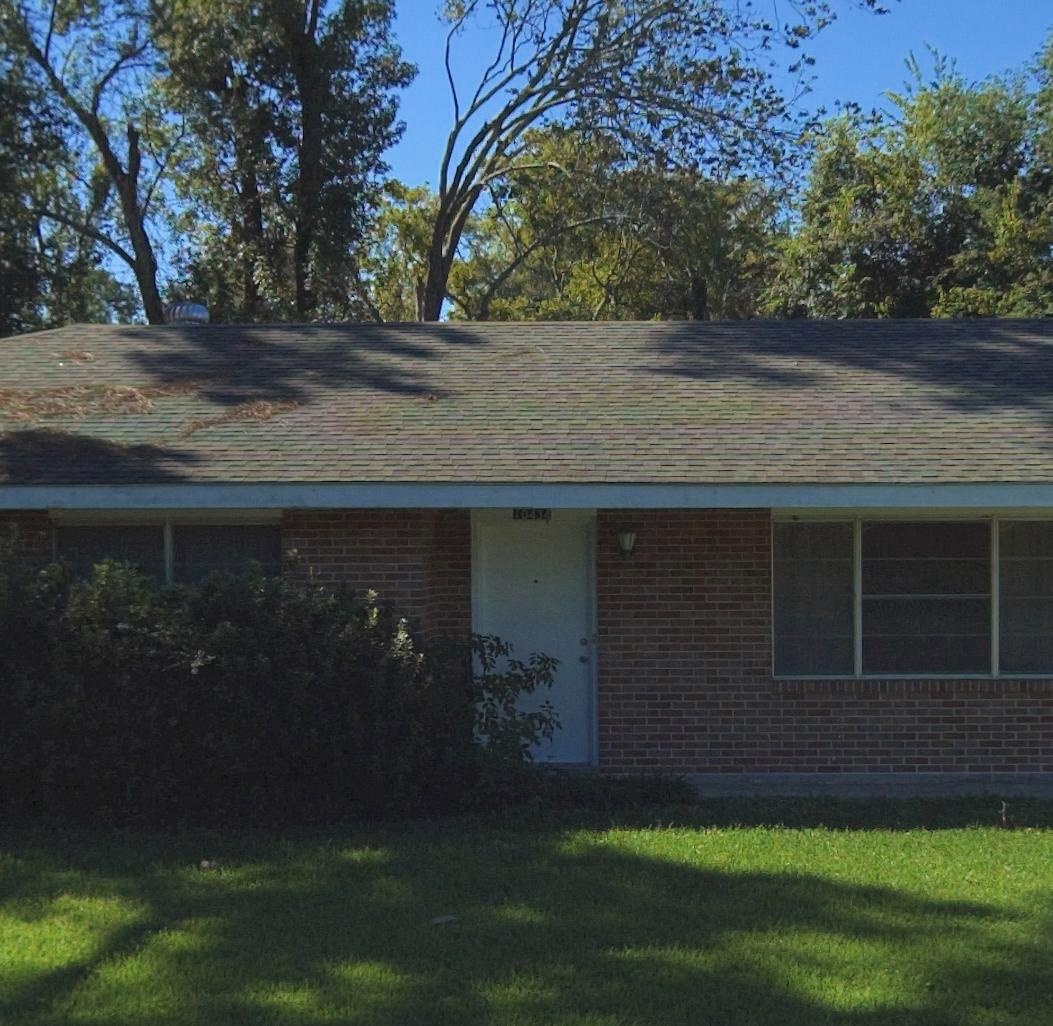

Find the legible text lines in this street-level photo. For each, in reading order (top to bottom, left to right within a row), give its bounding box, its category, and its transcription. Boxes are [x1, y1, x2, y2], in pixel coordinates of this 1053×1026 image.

[513, 507, 553, 521] StreetNumber: 10434